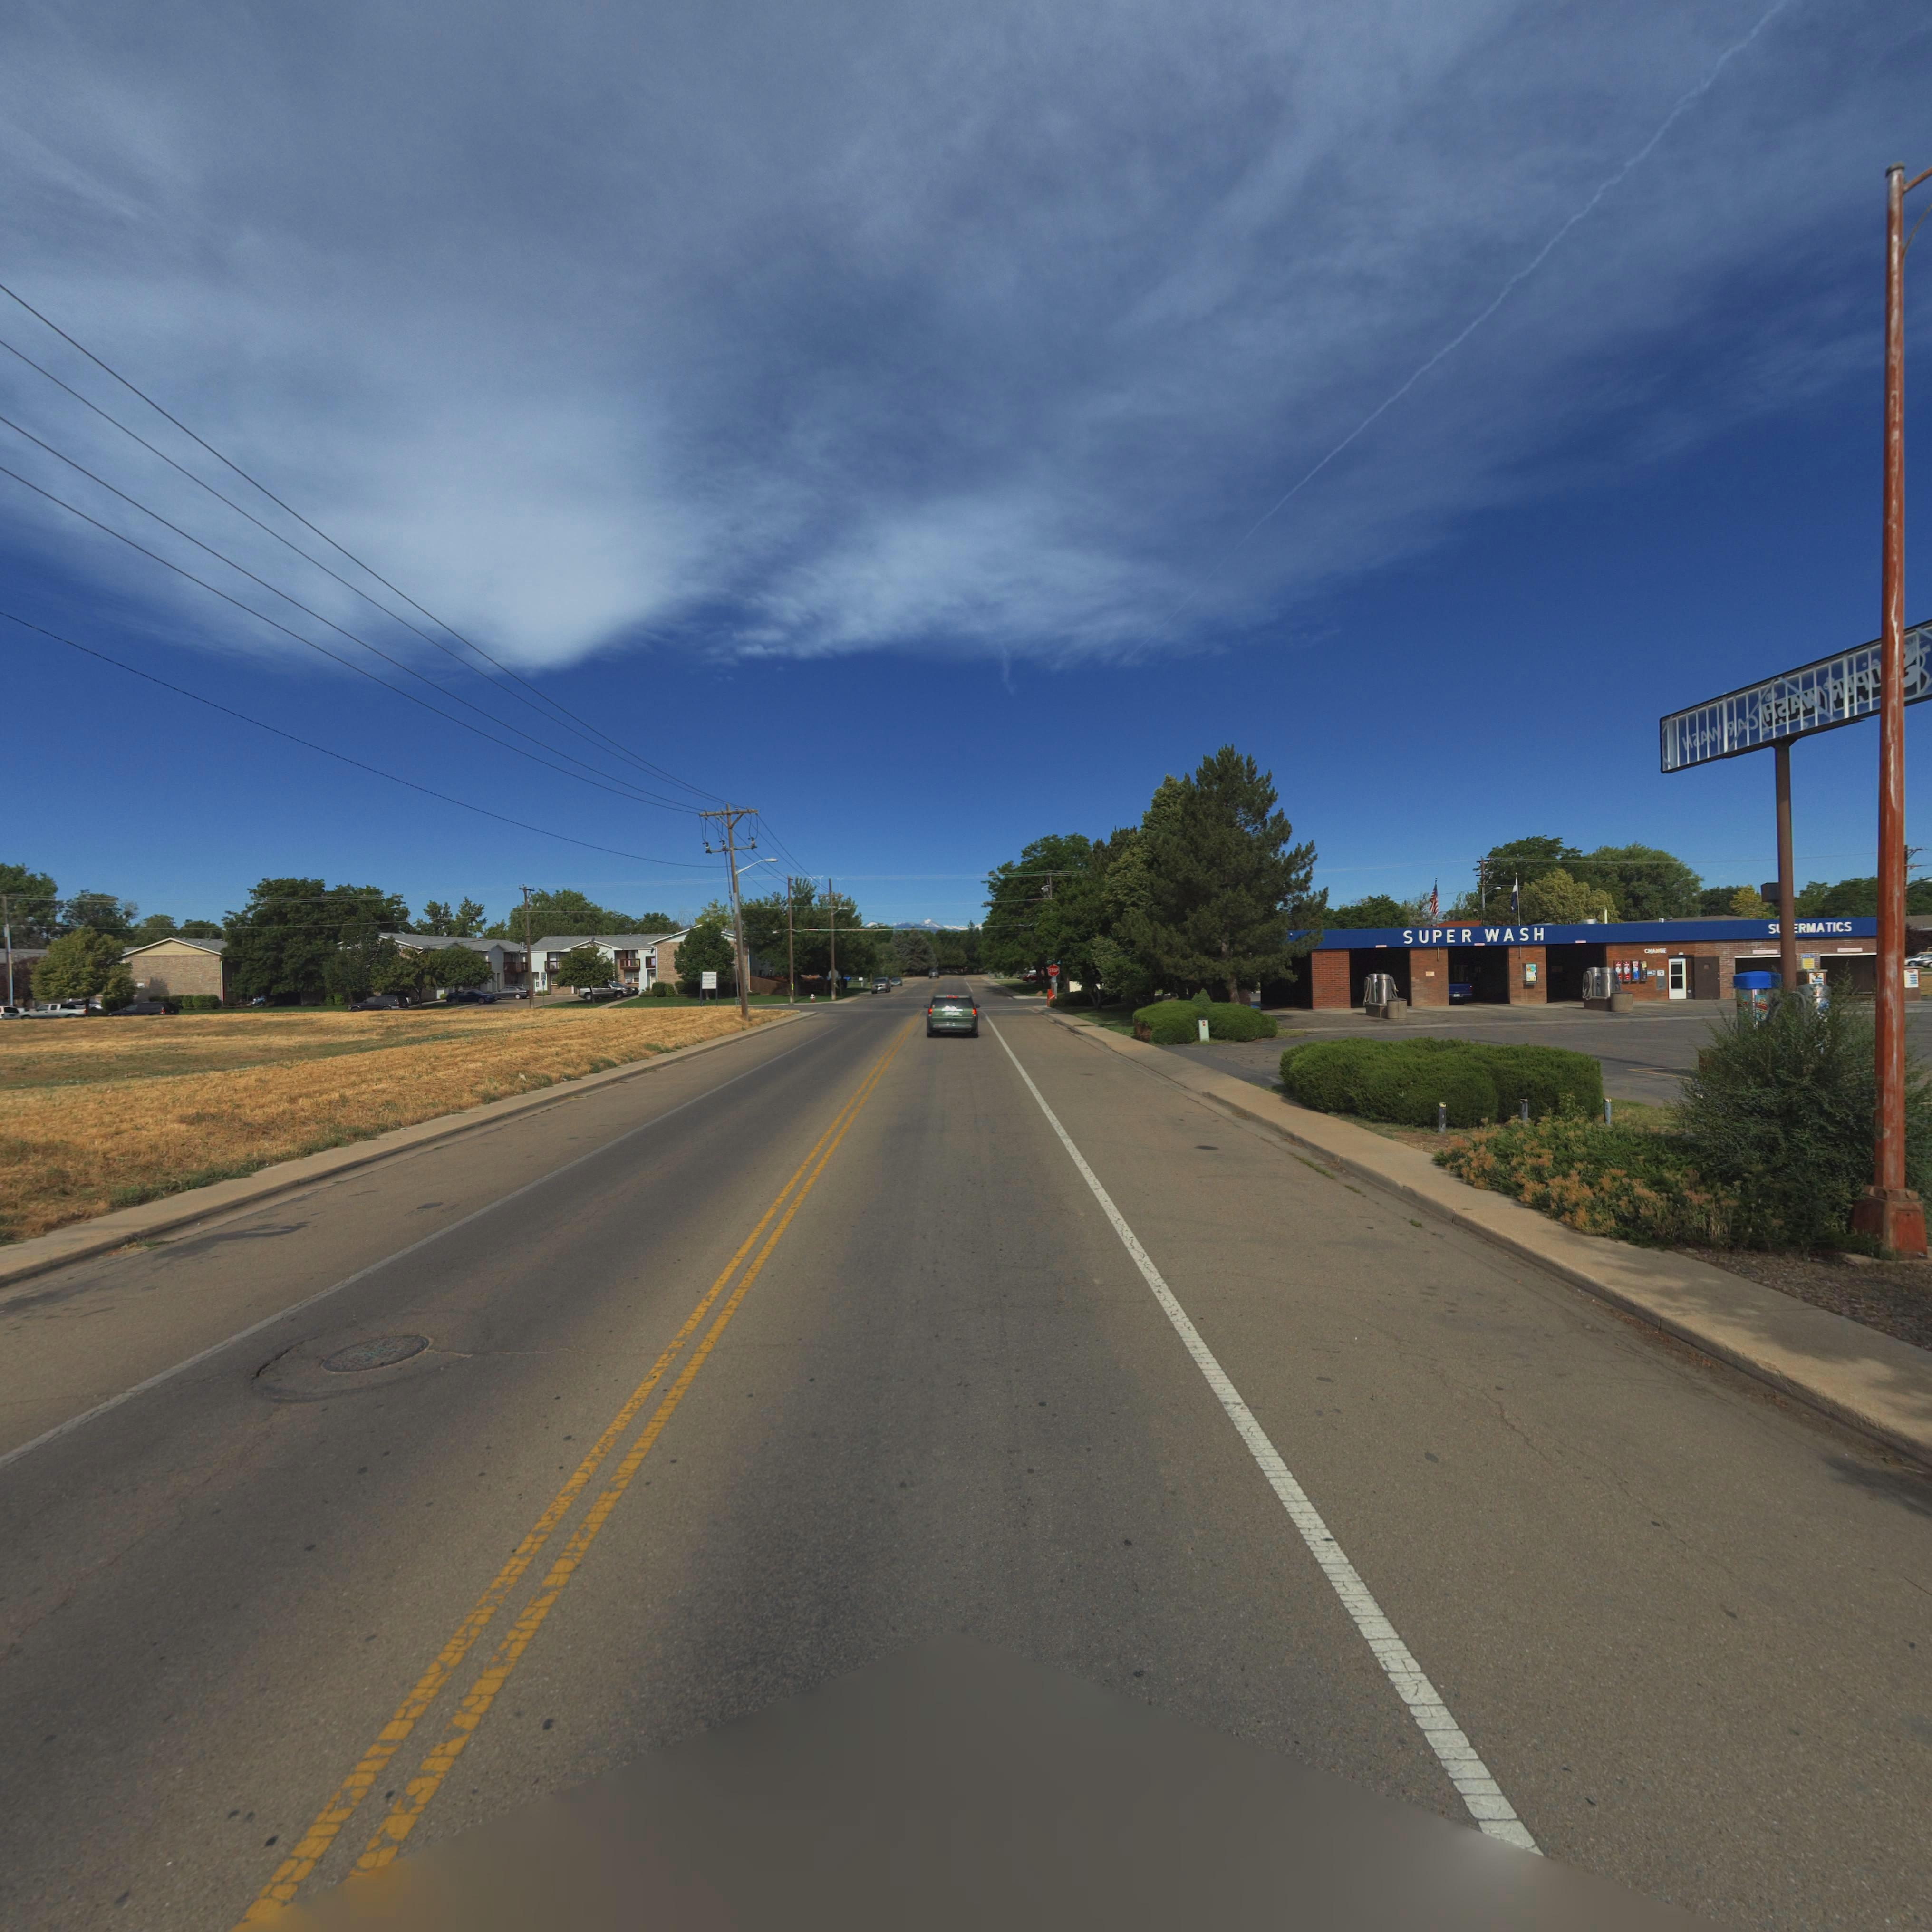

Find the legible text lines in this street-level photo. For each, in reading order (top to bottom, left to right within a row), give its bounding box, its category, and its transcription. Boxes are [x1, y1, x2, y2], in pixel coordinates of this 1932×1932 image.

[1402, 927, 1544, 944] BusinessName: SUPER WASH